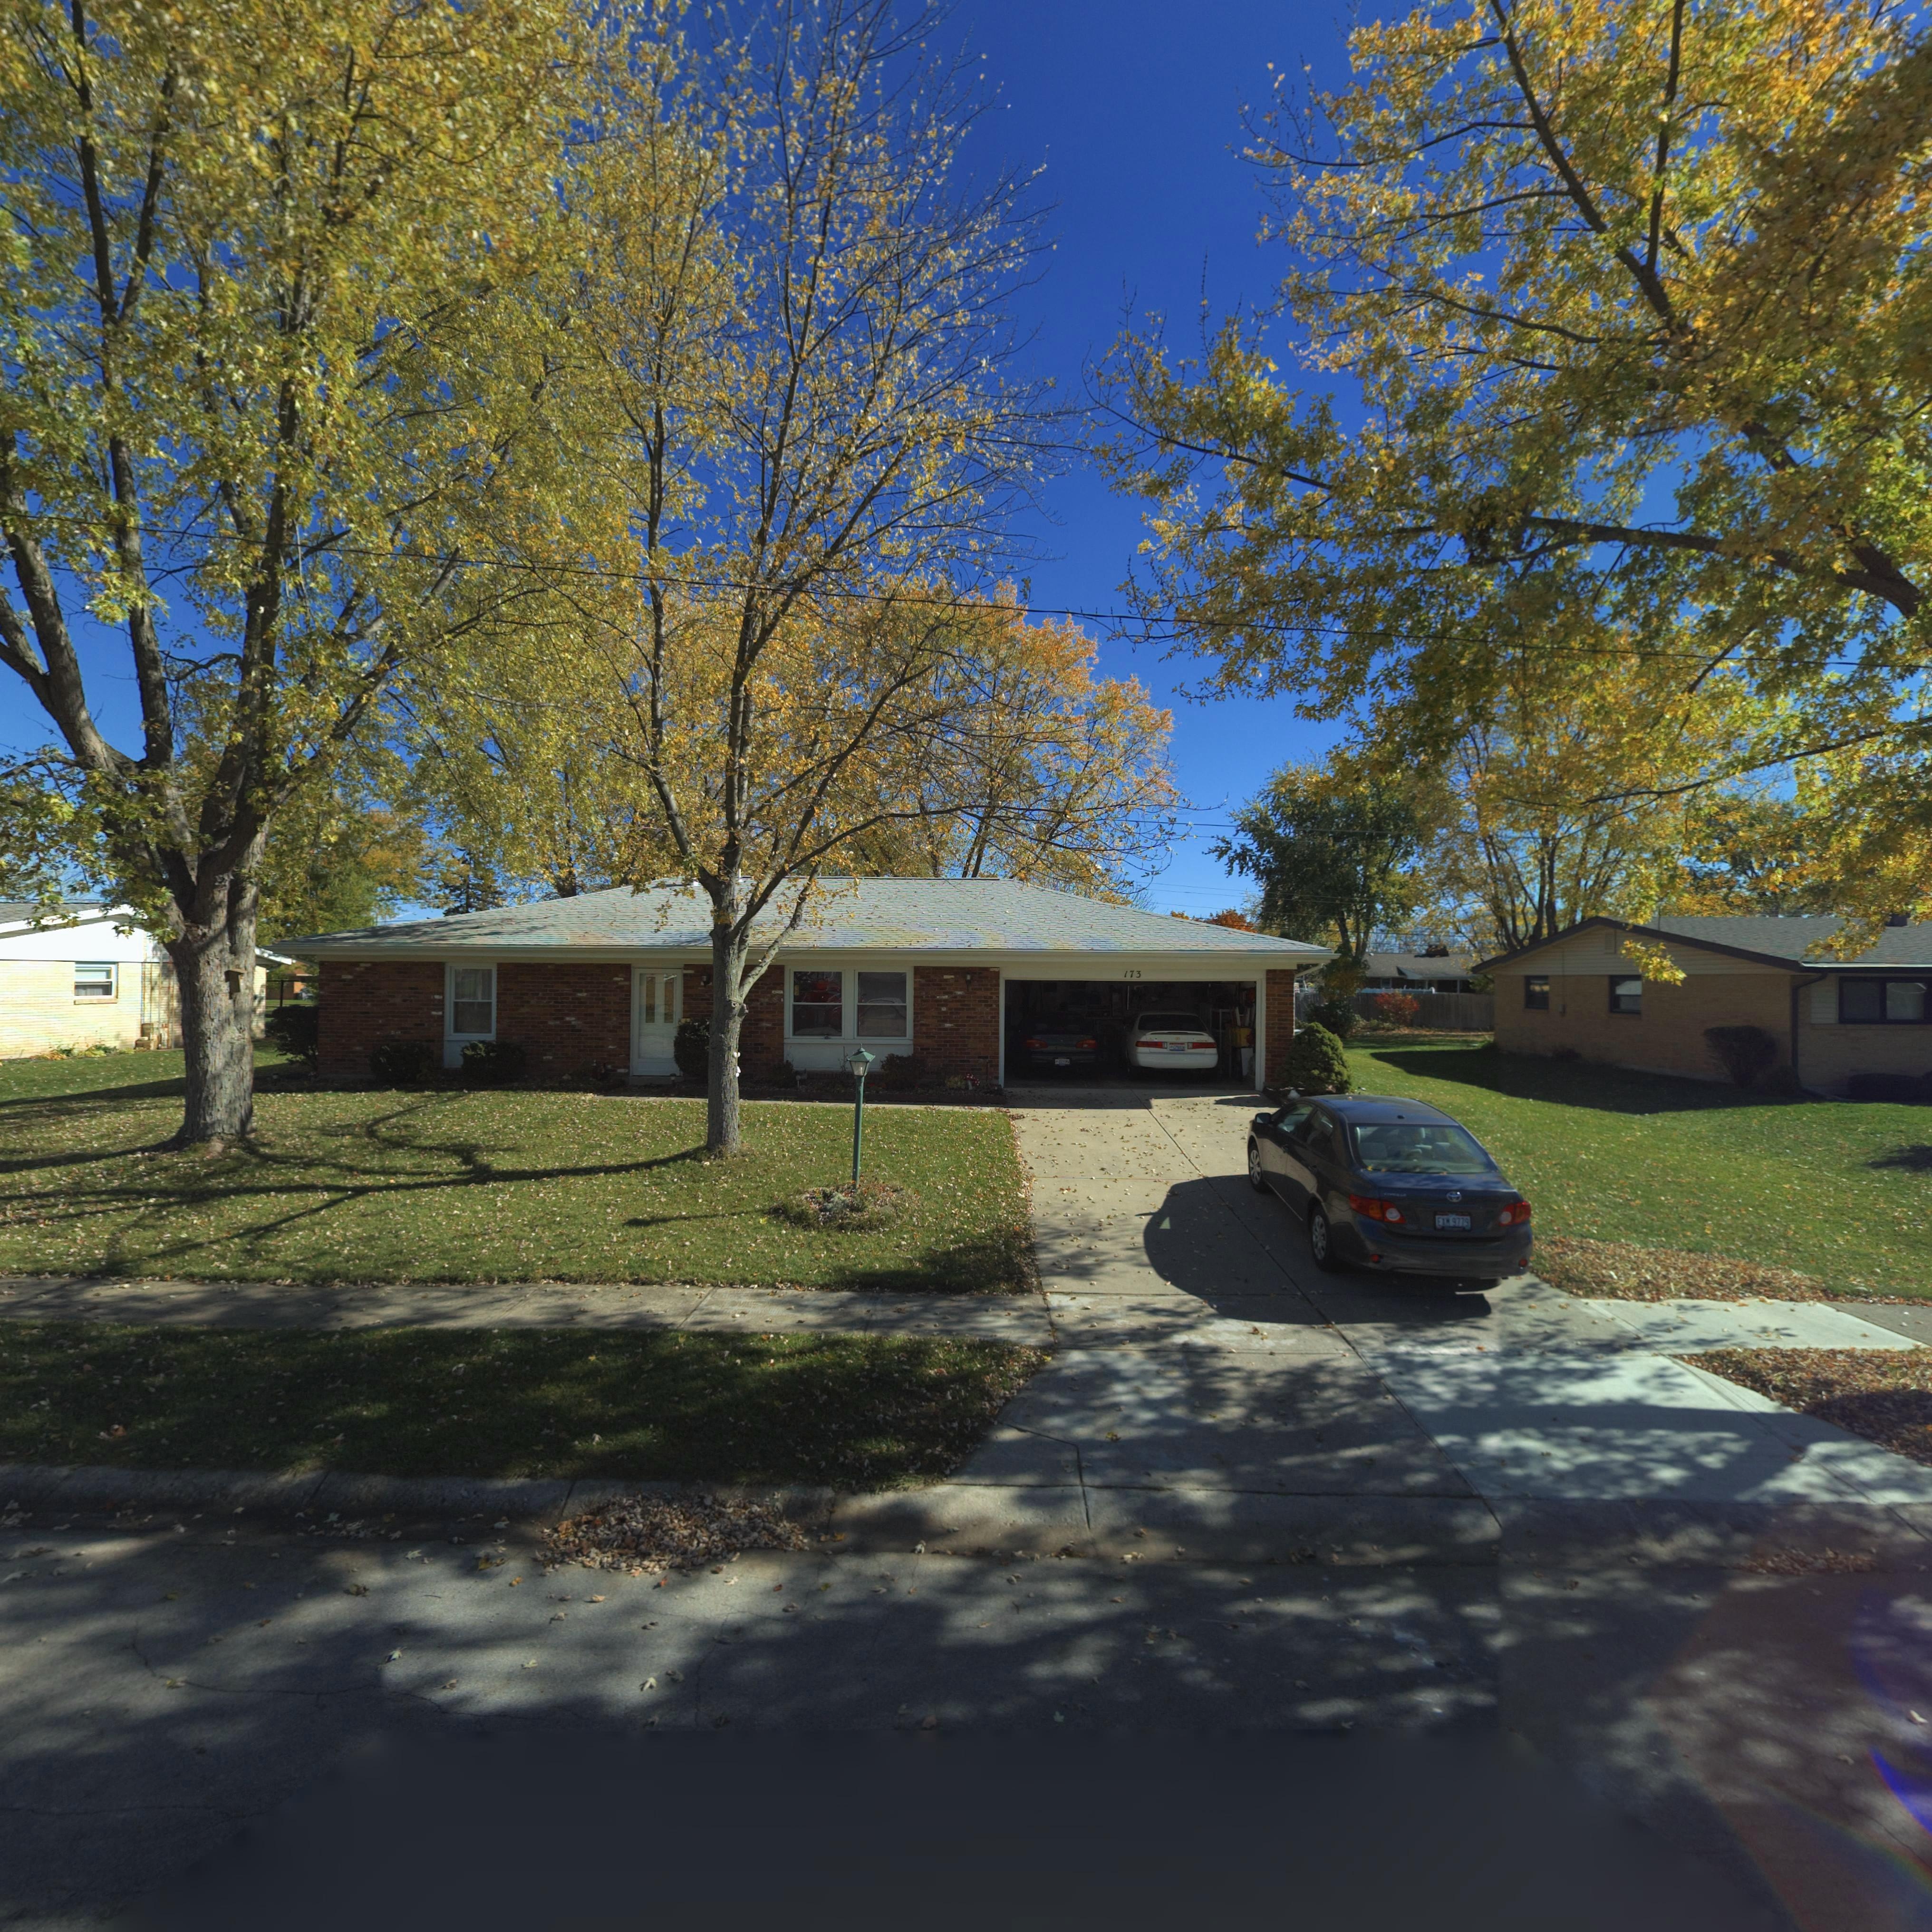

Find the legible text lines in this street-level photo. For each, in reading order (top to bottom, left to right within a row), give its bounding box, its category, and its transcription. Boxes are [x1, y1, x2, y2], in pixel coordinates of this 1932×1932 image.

[1123, 969, 1142, 979] StreetNumber: 173